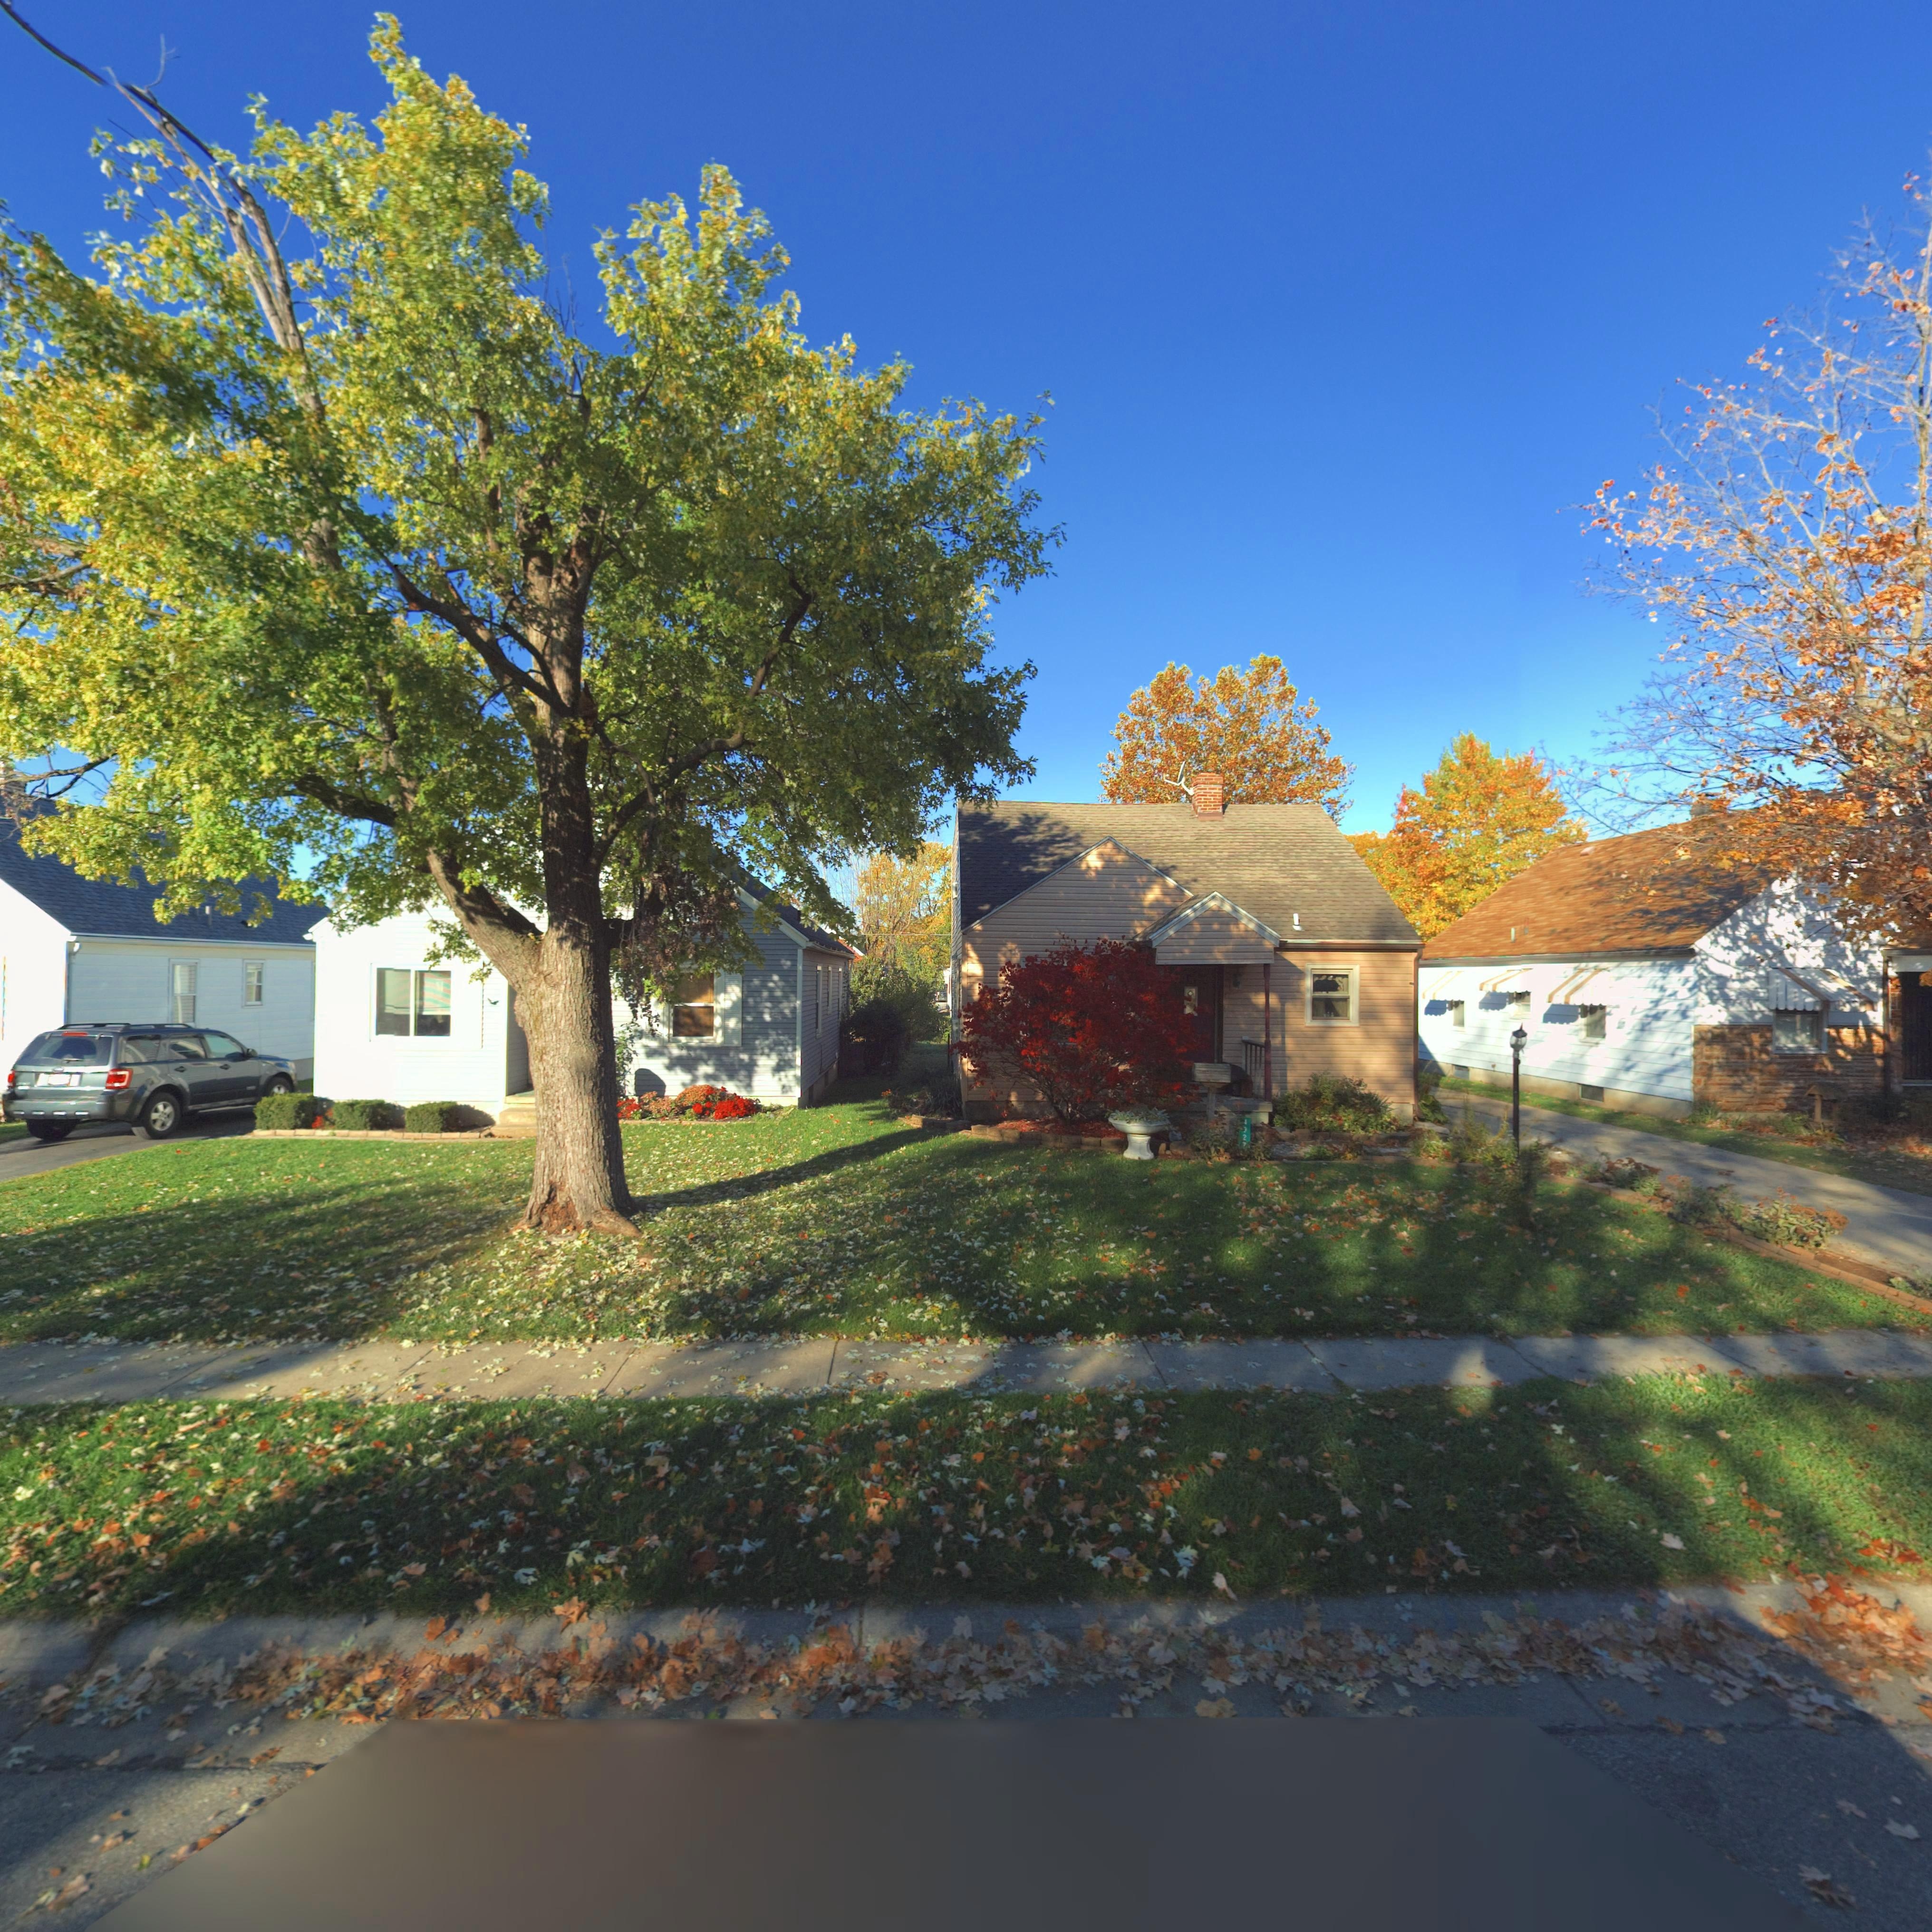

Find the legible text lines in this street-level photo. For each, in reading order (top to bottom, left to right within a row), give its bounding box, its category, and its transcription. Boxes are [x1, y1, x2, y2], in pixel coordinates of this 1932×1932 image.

[1241, 1119, 1247, 1149] StreetNumber: **27